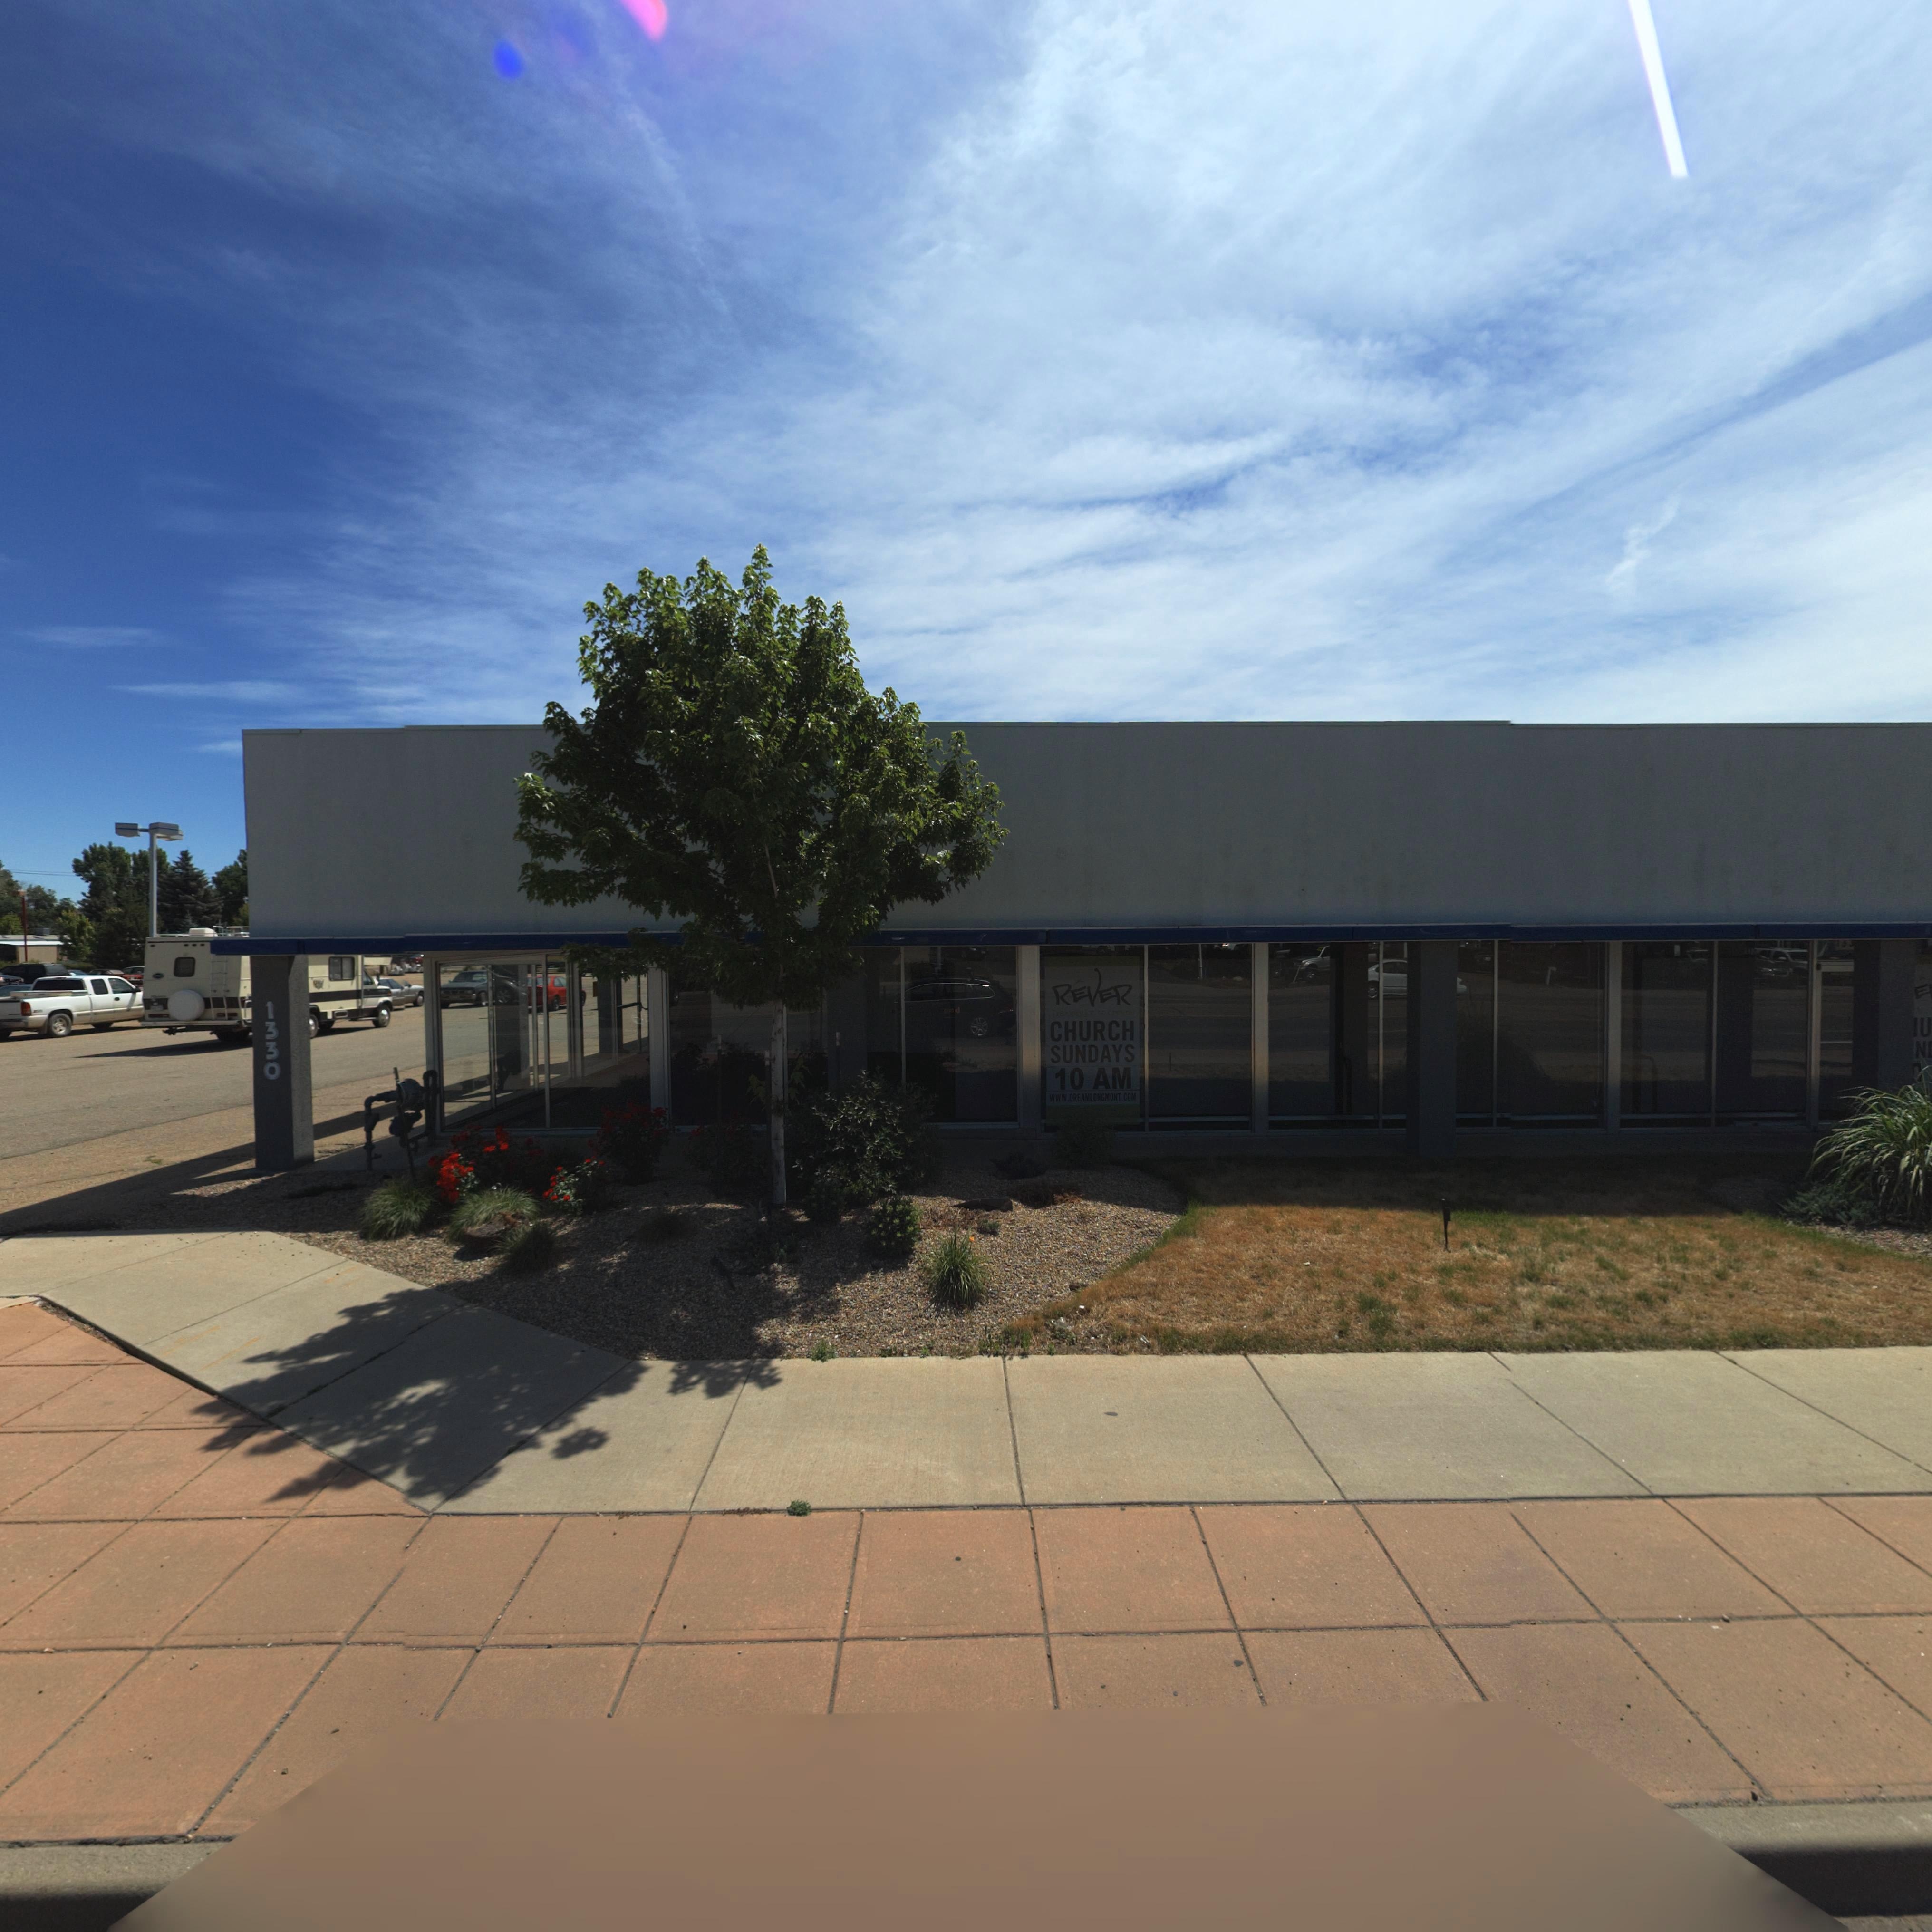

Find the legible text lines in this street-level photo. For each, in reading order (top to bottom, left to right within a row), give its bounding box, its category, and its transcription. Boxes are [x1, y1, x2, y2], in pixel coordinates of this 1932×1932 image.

[1050, 982, 1133, 1006] BusinessName: REVER
[1913, 982, 1930, 1000] BusinessName: E
[261, 997, 282, 1082] StreetNumber: 1330
[1048, 1018, 1134, 1041] BusinessName: CHURCH
[1919, 1016, 1932, 1037] BusinessName: U